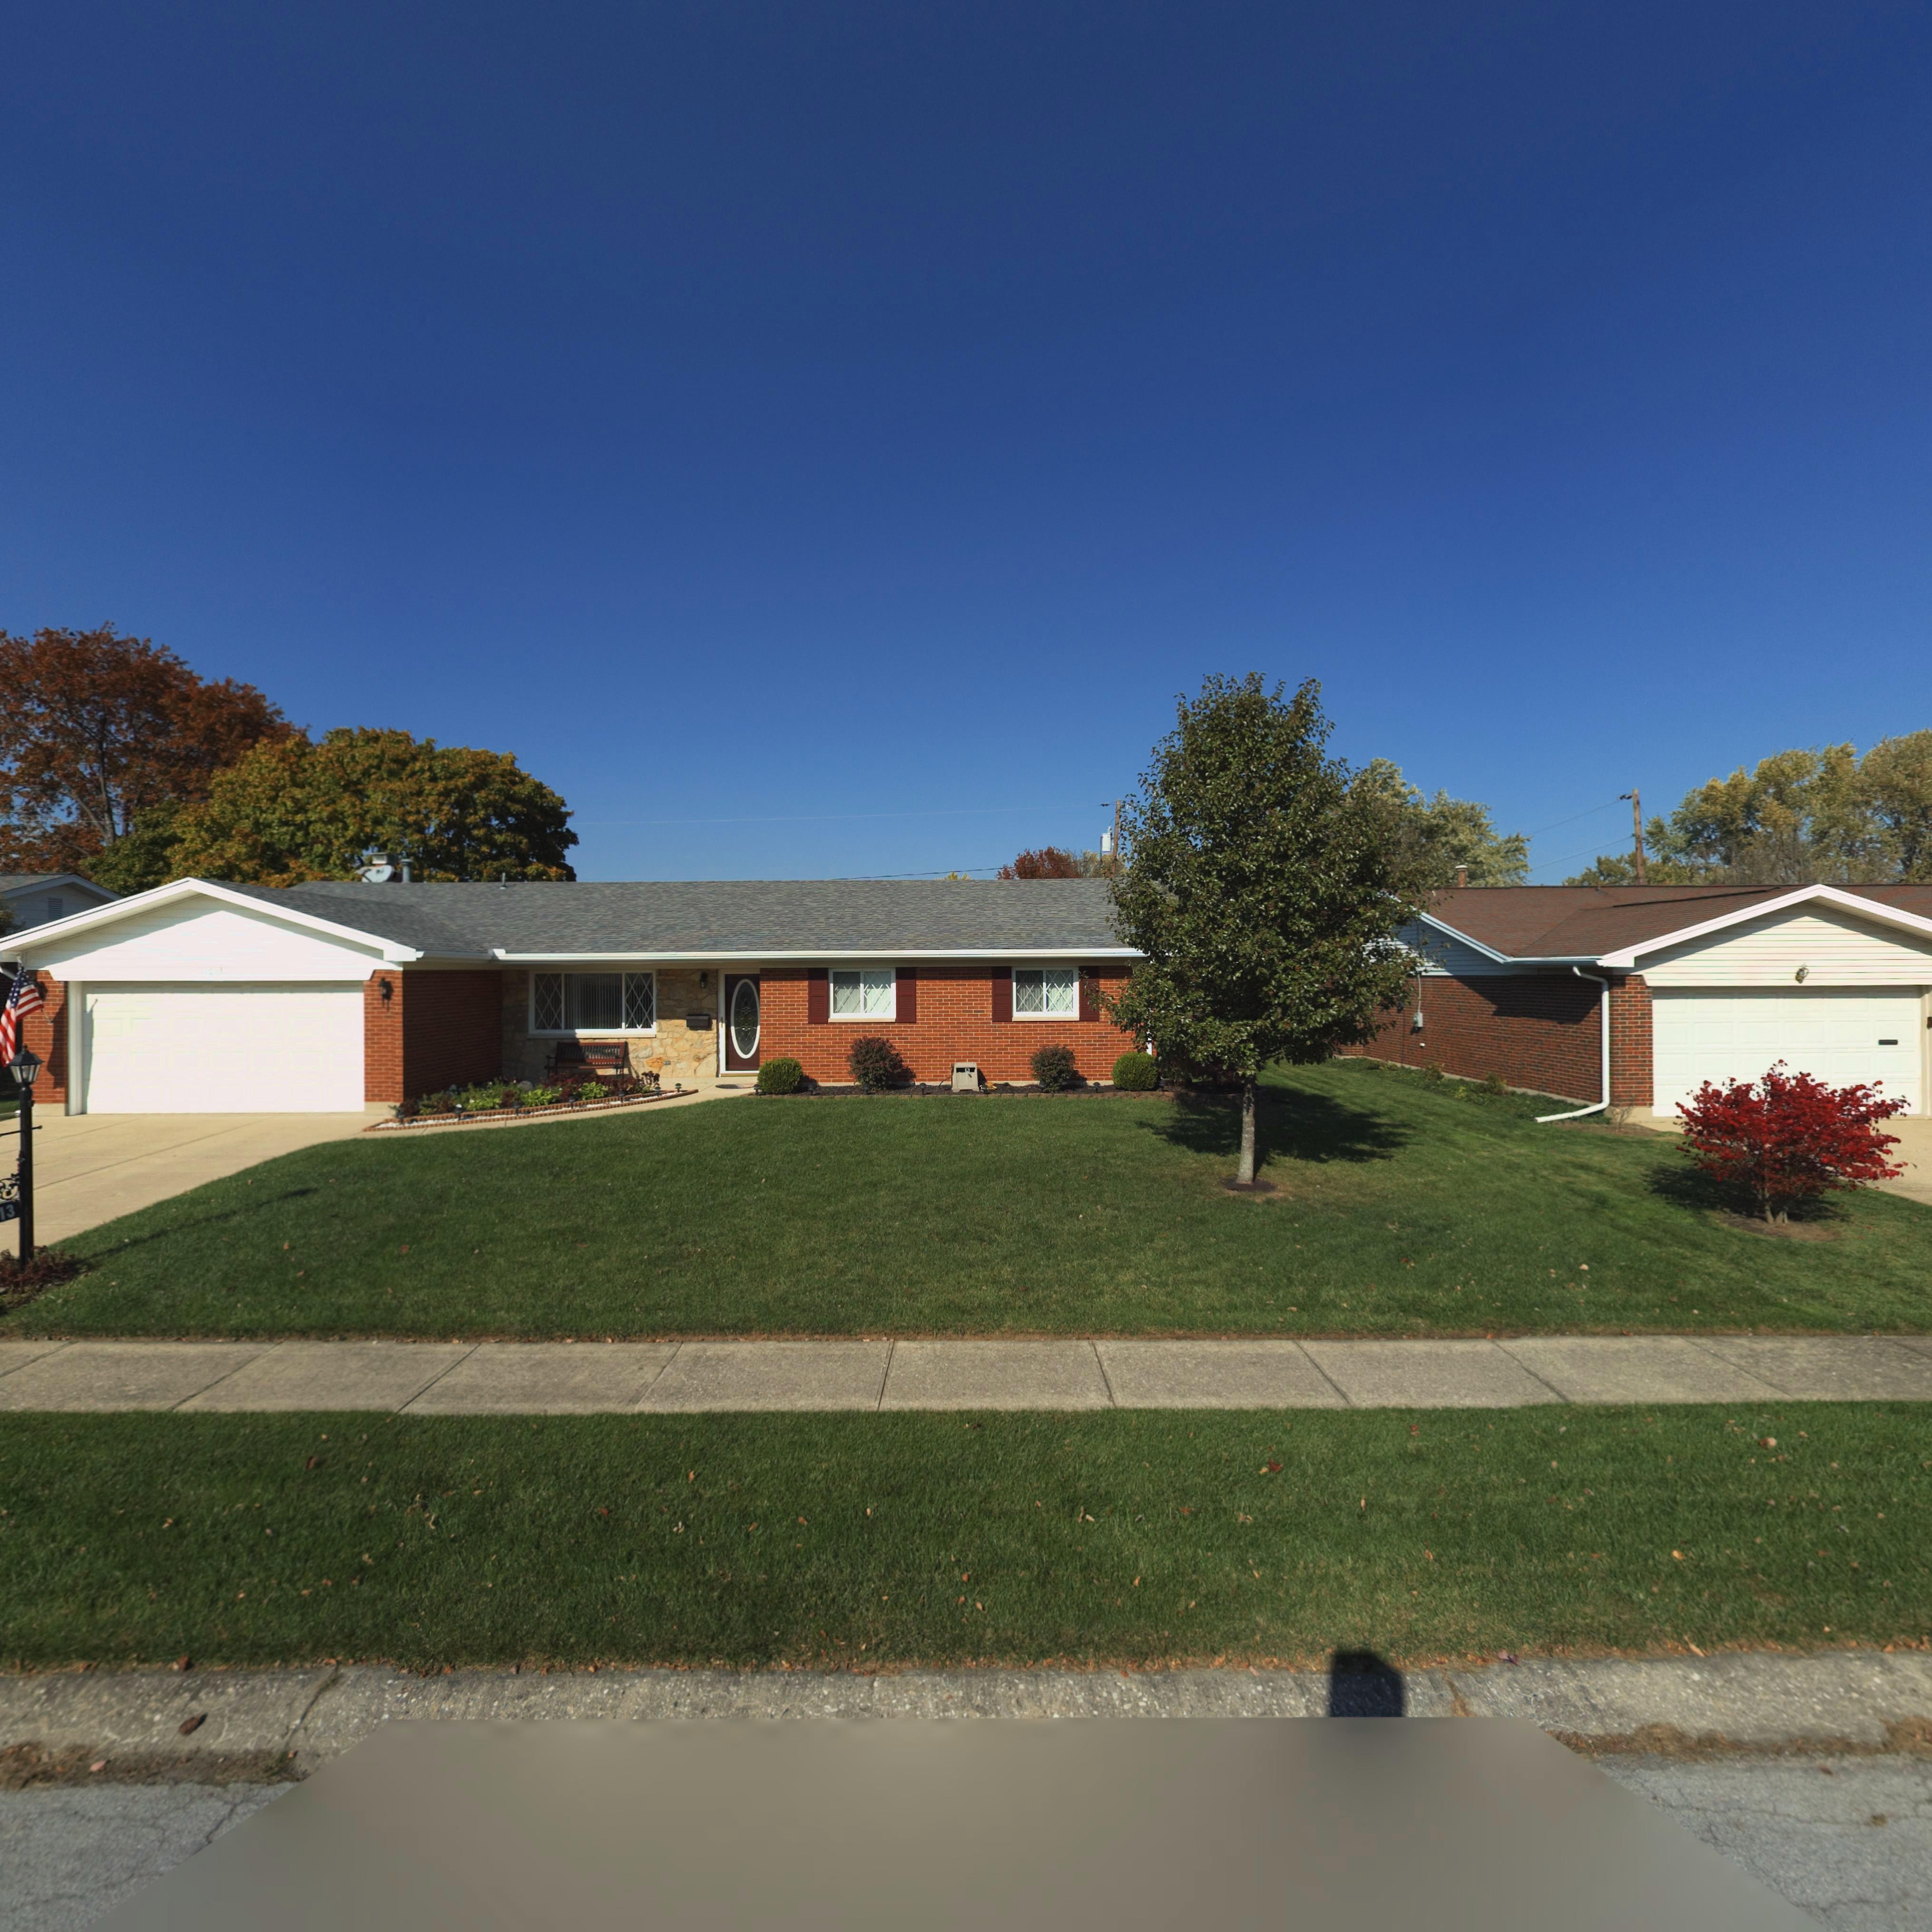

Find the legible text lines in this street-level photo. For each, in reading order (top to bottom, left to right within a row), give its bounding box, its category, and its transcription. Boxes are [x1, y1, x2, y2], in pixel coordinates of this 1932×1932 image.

[203, 967, 223, 975] StreetNumber: *0*3
[0, 1203, 16, 1221] StreetNumber: 13